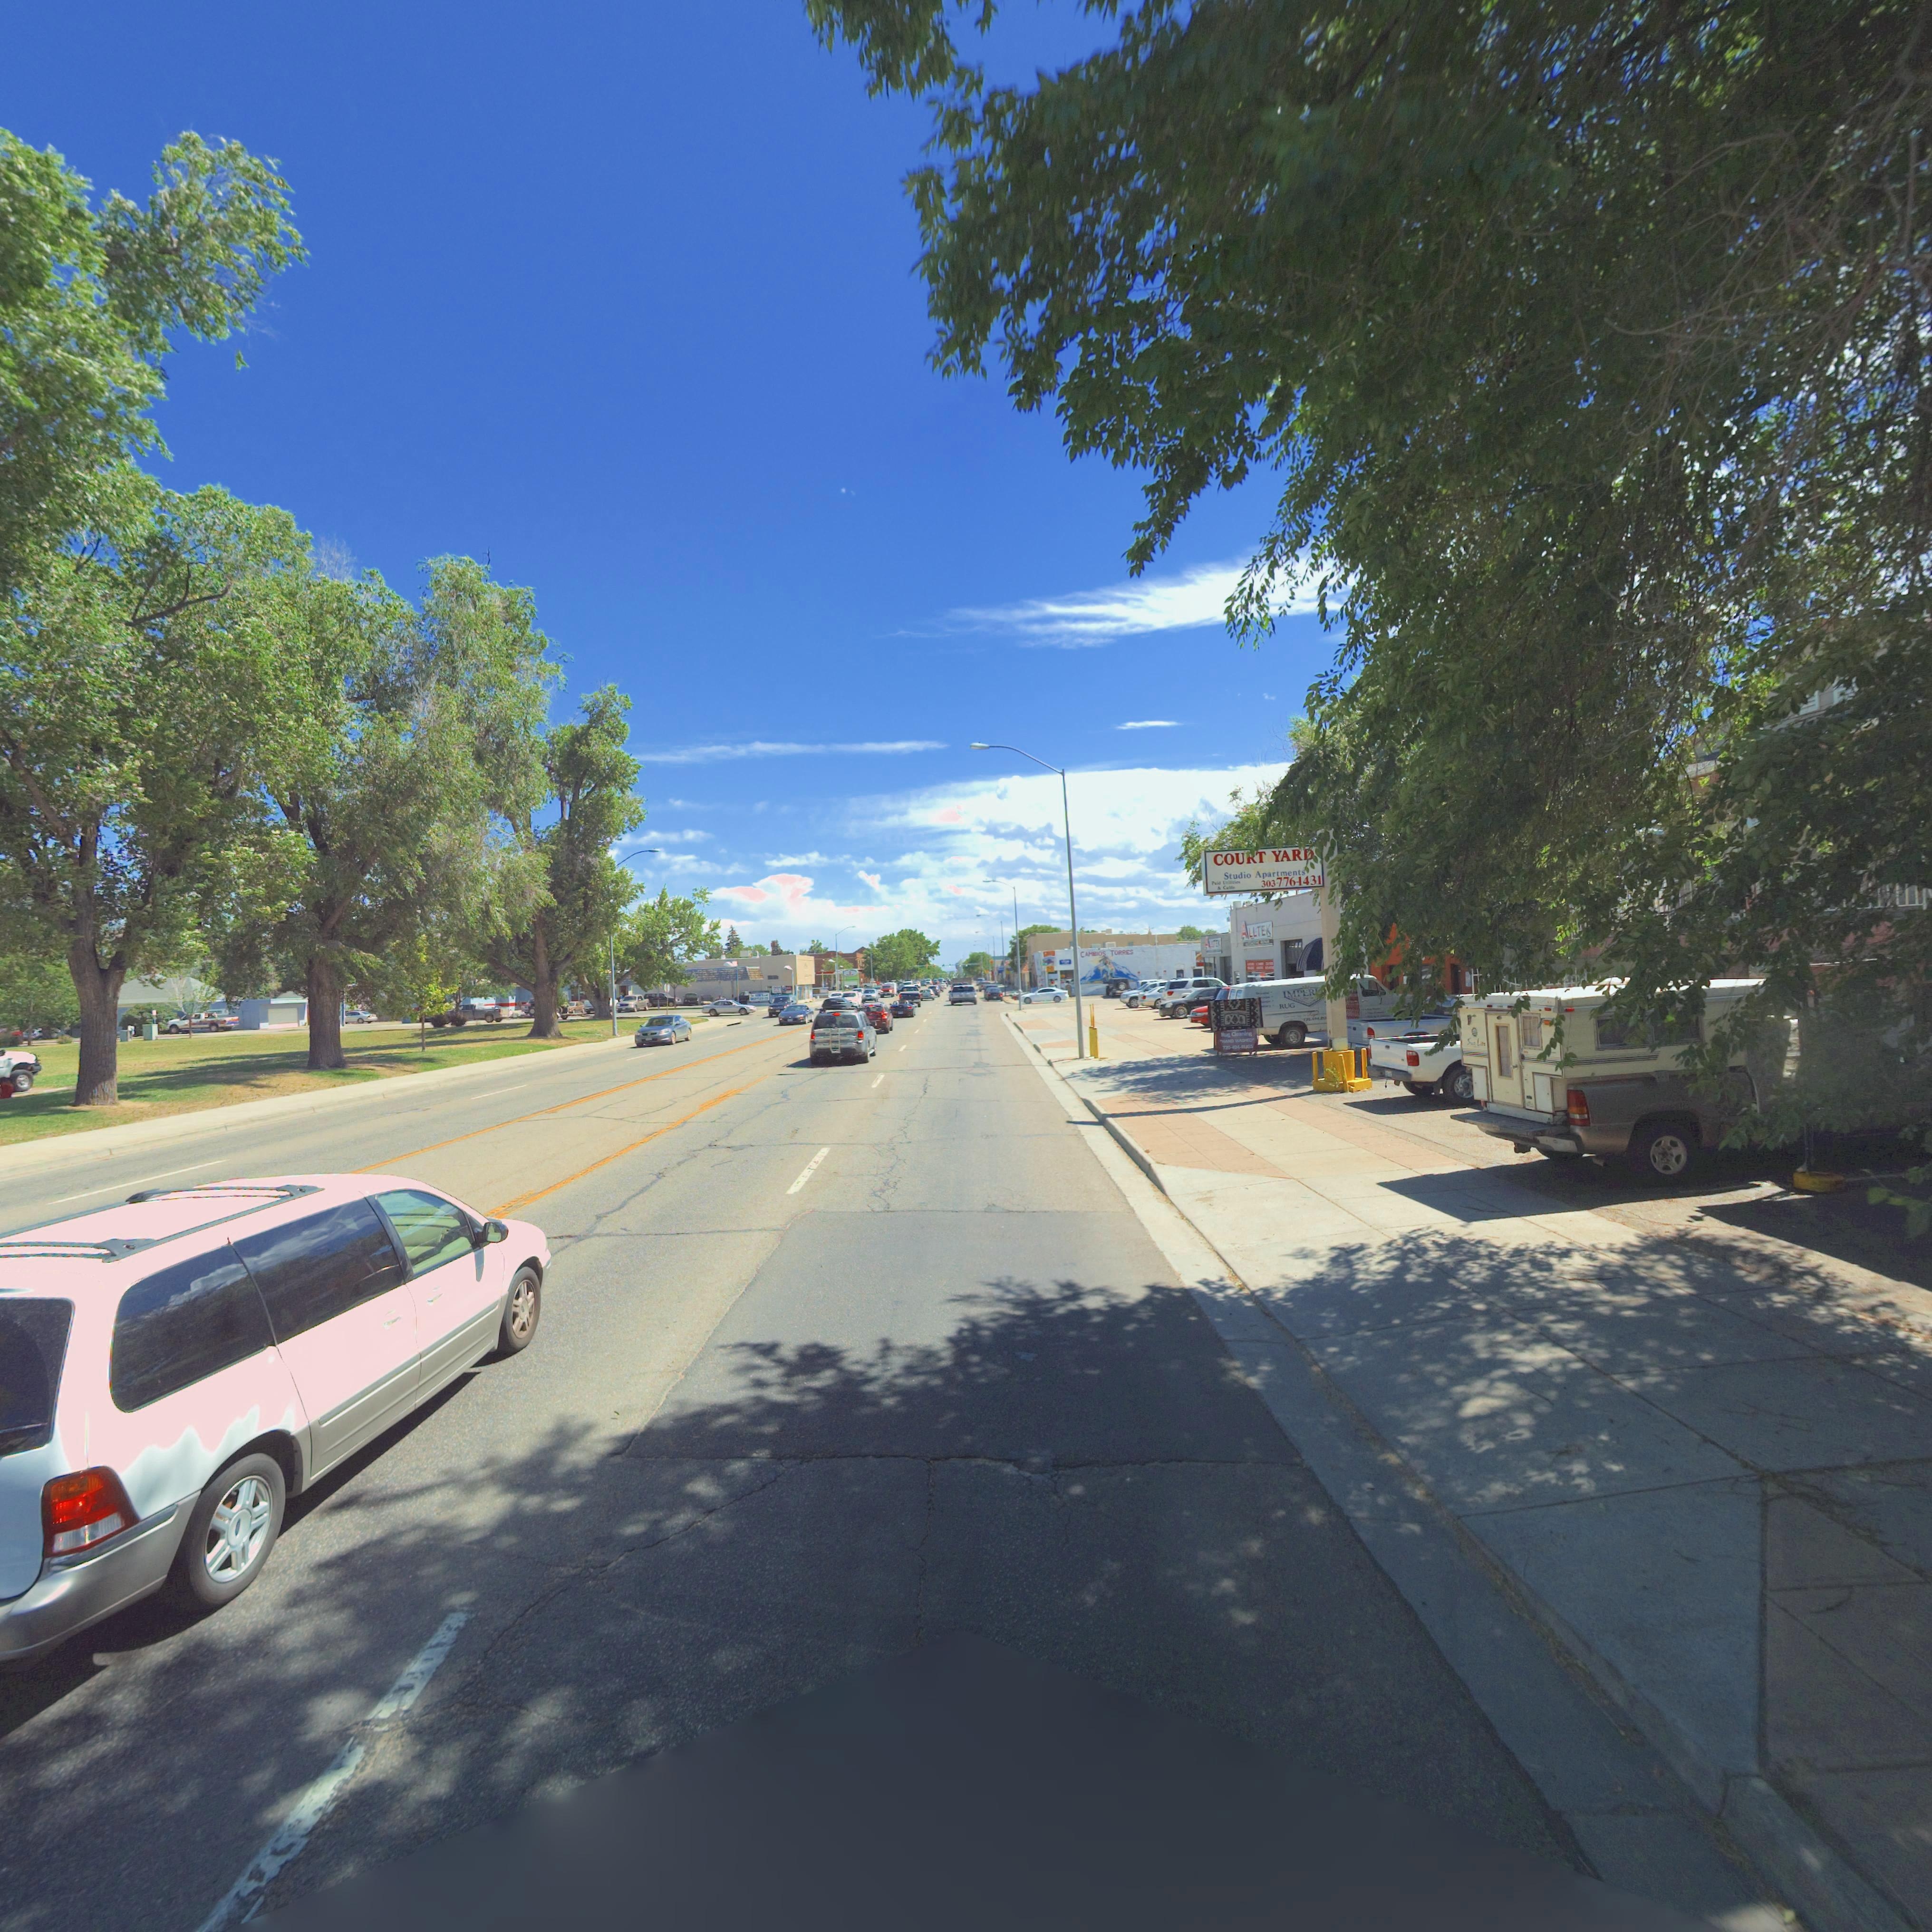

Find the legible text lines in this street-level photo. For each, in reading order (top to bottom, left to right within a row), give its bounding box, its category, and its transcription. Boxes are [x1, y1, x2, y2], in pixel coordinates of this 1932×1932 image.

[1213, 848, 1314, 866] BusinessName: COURT YARD
[1223, 869, 1306, 880] BusinessName: Studio Apartments
[1239, 921, 1271, 940] BusinessName: ALLTEK
[1204, 936, 1220, 950] BusinessName: ***TE*
[1080, 949, 1134, 958] BusinessName: CAMB*OS TORRES